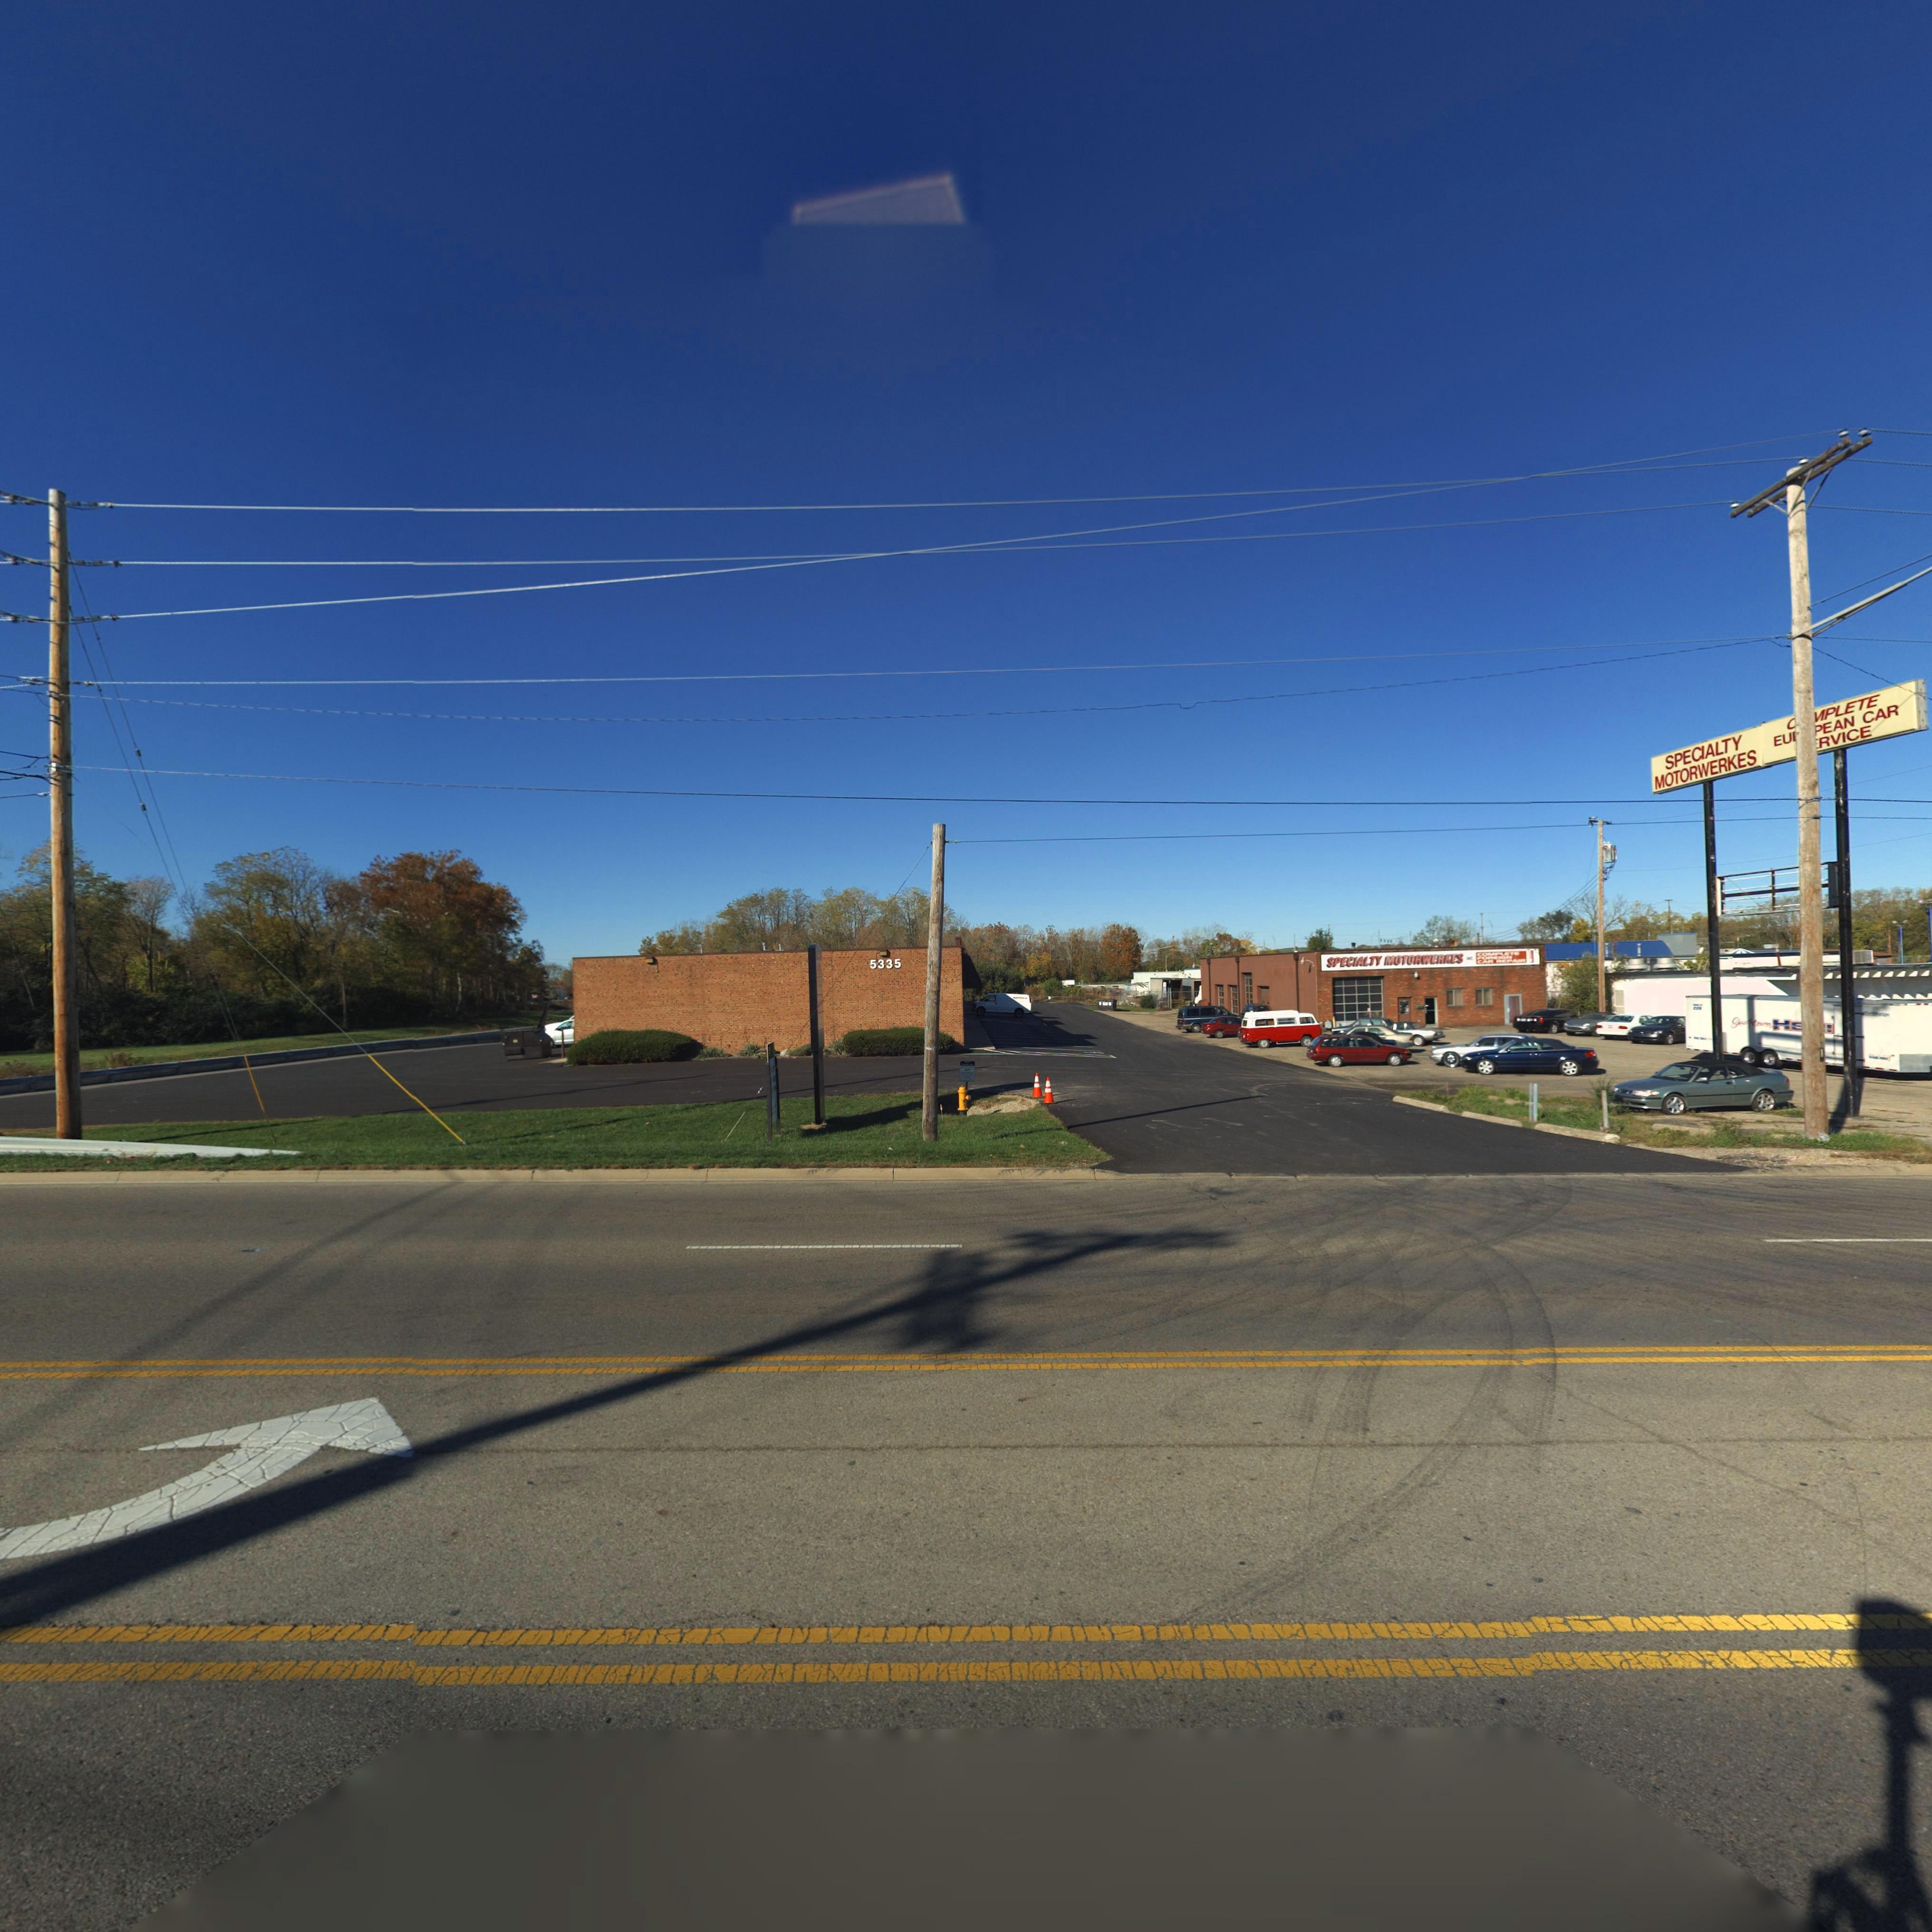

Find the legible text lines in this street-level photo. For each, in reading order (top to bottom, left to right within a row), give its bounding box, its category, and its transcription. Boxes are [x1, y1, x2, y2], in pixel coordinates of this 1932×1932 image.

[869, 958, 901, 969] StreetNumber: 5335